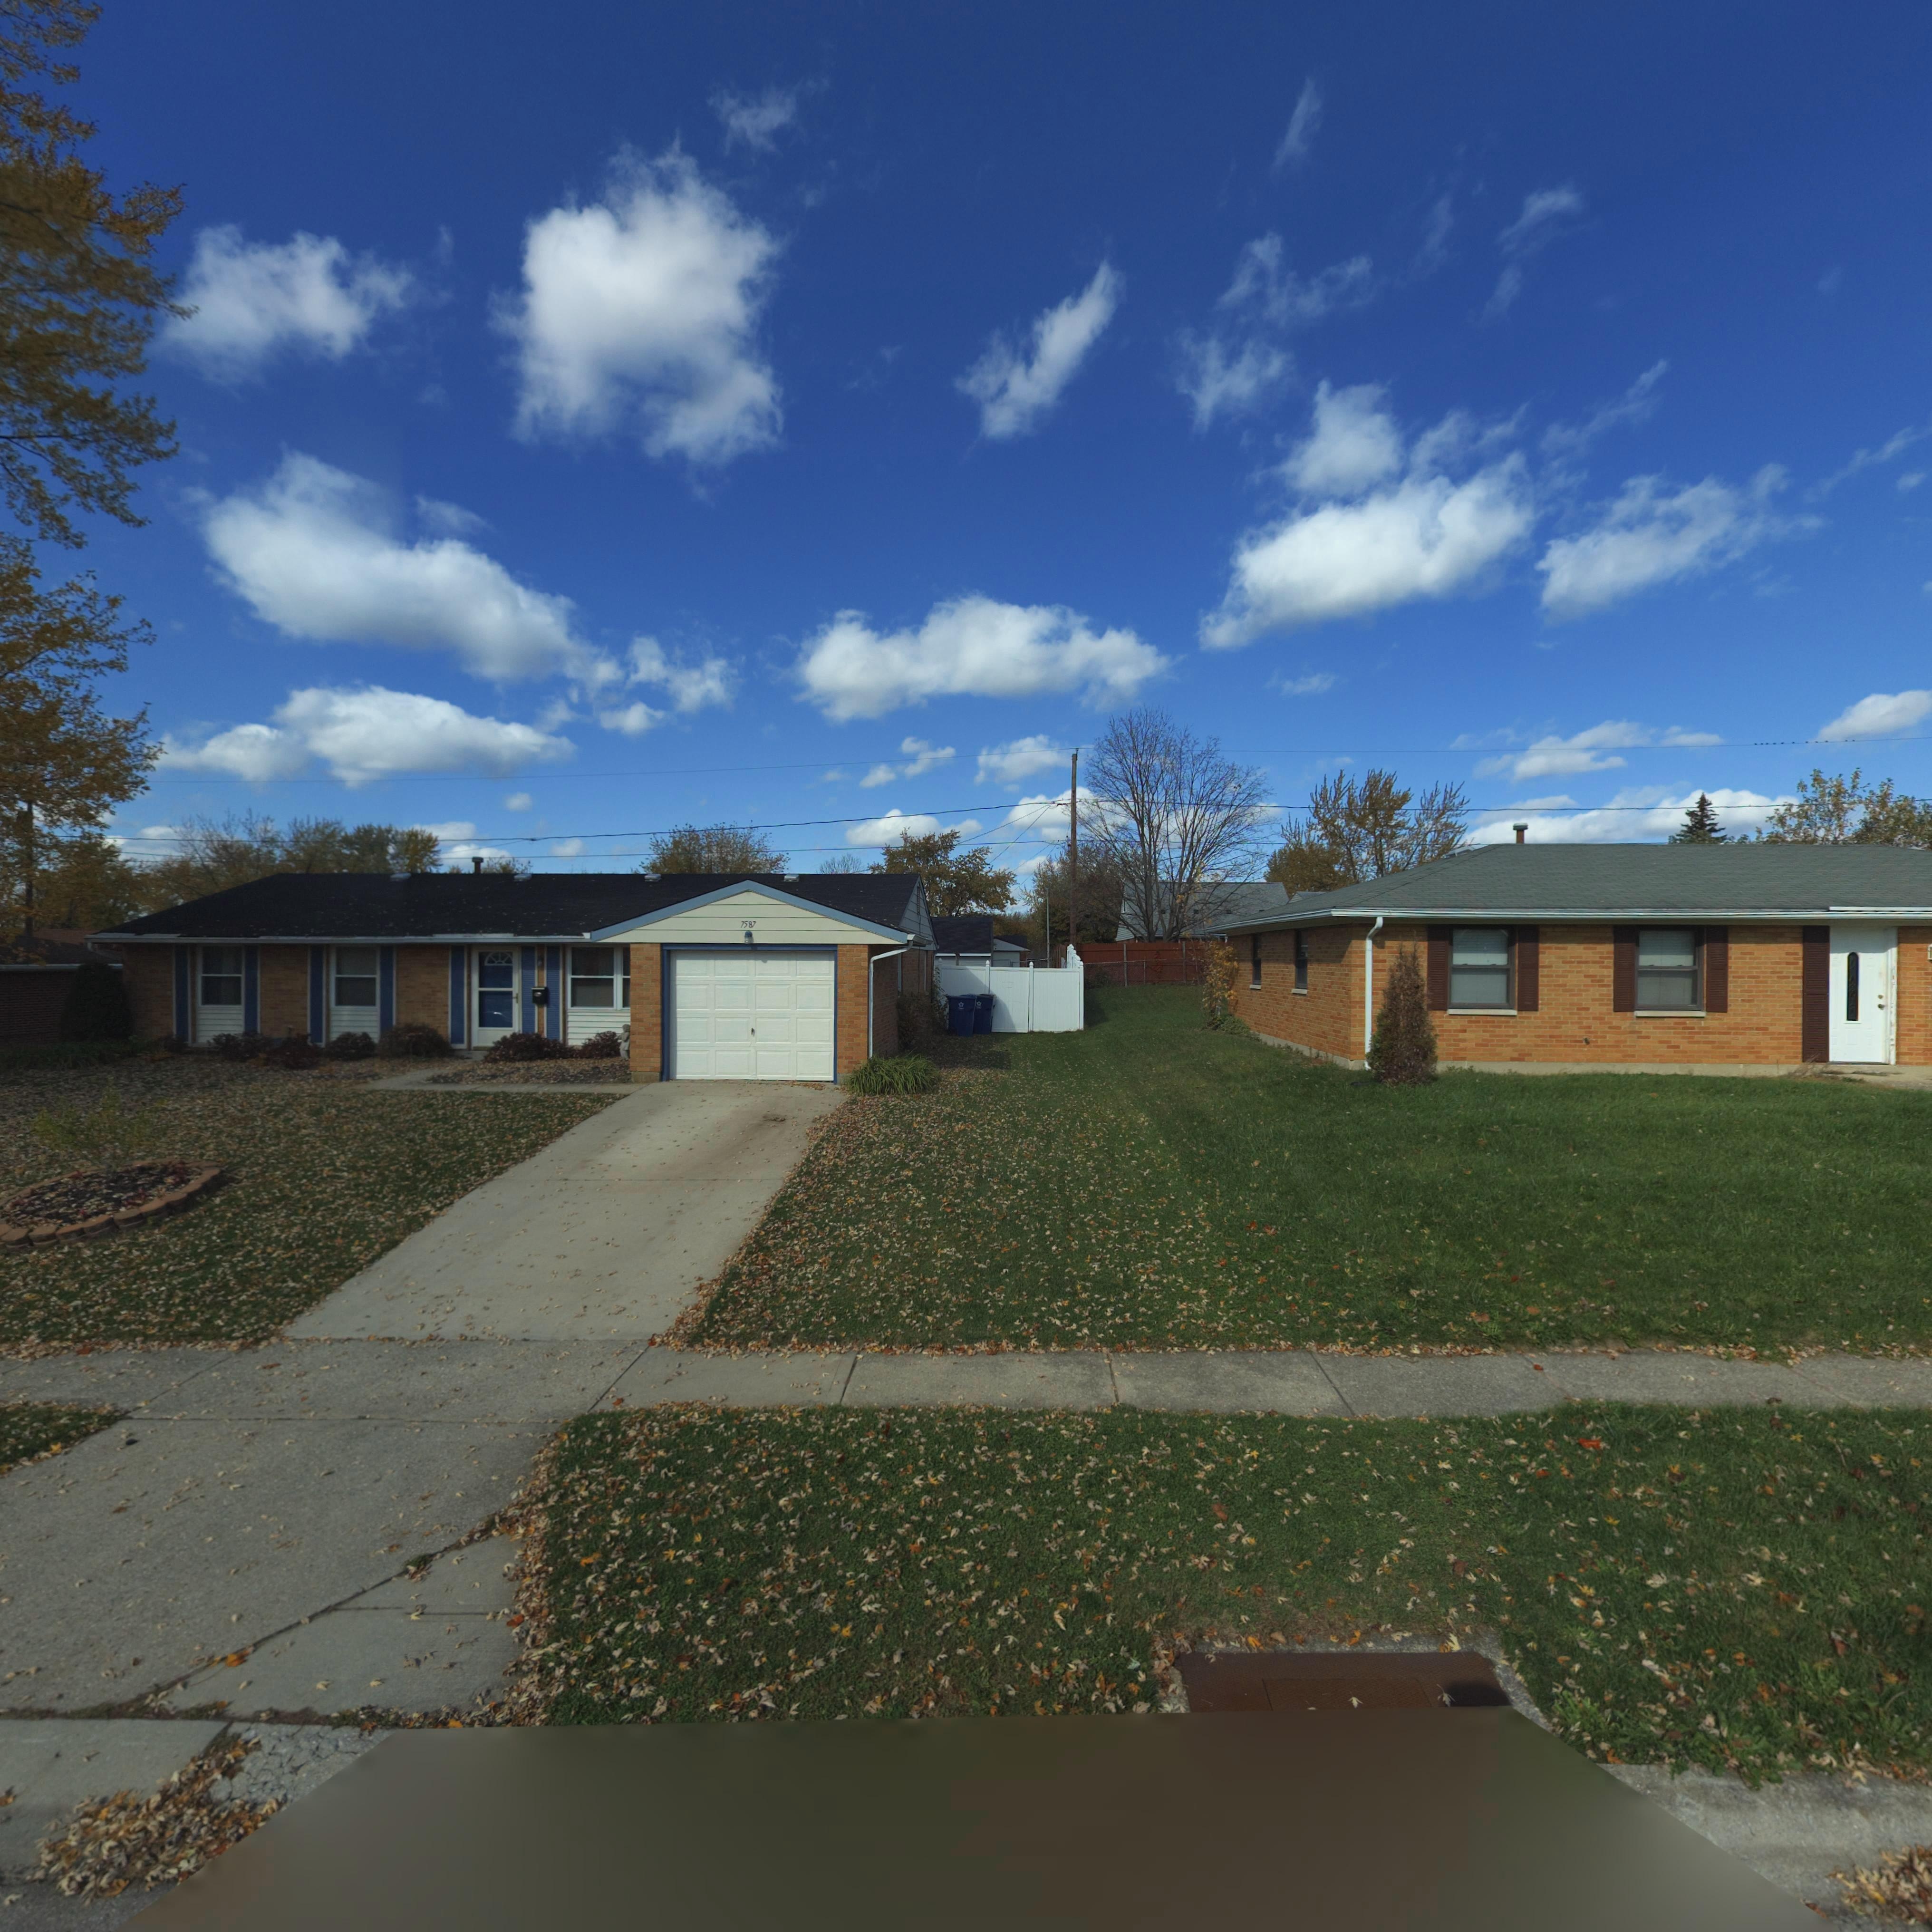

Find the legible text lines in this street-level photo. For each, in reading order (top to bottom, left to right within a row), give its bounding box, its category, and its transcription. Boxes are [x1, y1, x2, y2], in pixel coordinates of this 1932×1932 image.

[740, 920, 756, 928] StreetNumber: 7587